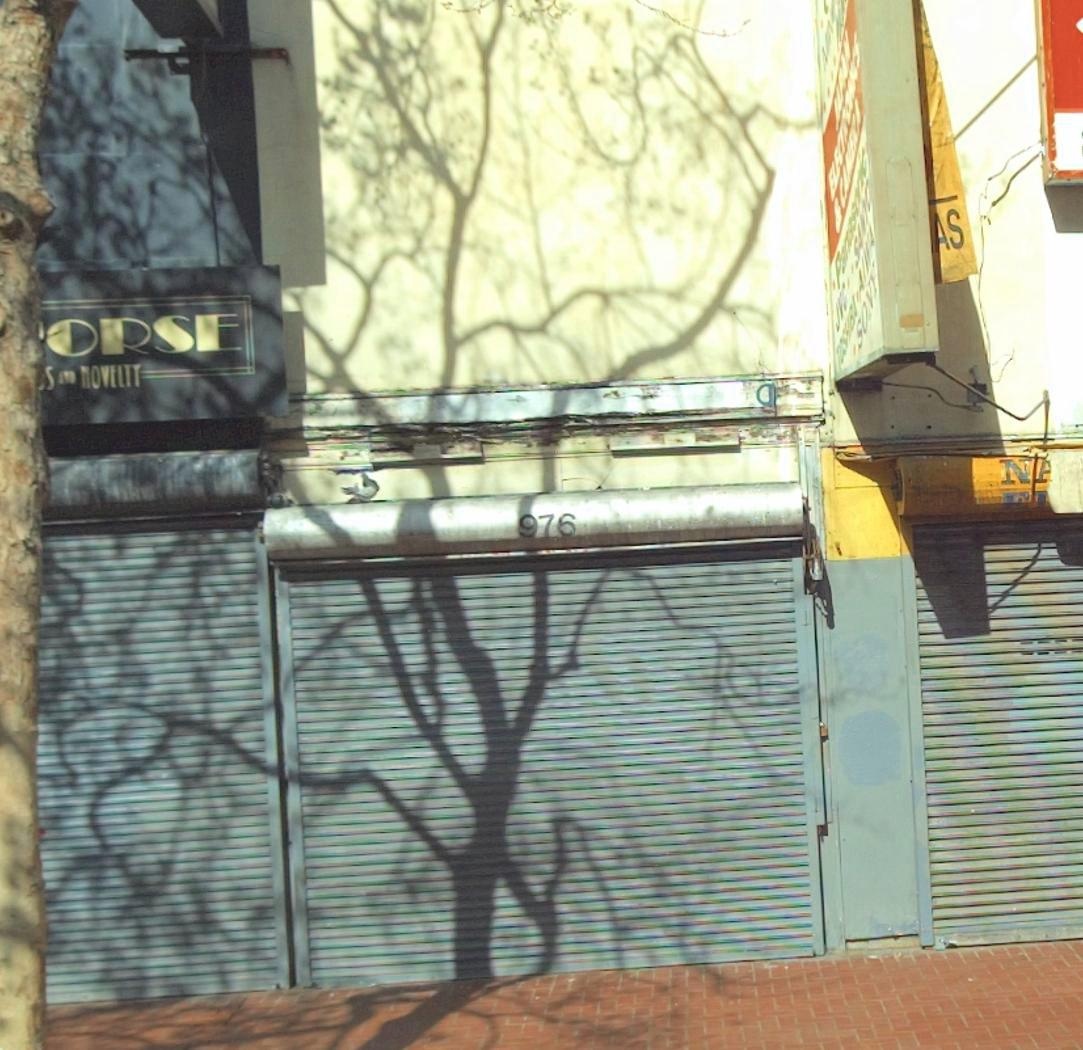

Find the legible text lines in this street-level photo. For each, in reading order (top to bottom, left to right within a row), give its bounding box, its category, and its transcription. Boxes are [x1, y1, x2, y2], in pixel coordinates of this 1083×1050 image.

[928, 203, 970, 256] None: AS
[853, 258, 883, 360] None: SONY
[40, 305, 249, 363] BusinessName: ORSE
[38, 361, 59, 394] None: S
[75, 359, 149, 393] None: NOVELTY
[995, 454, 1036, 487] BusinessName: N
[514, 510, 580, 542] StreetNumber: 976